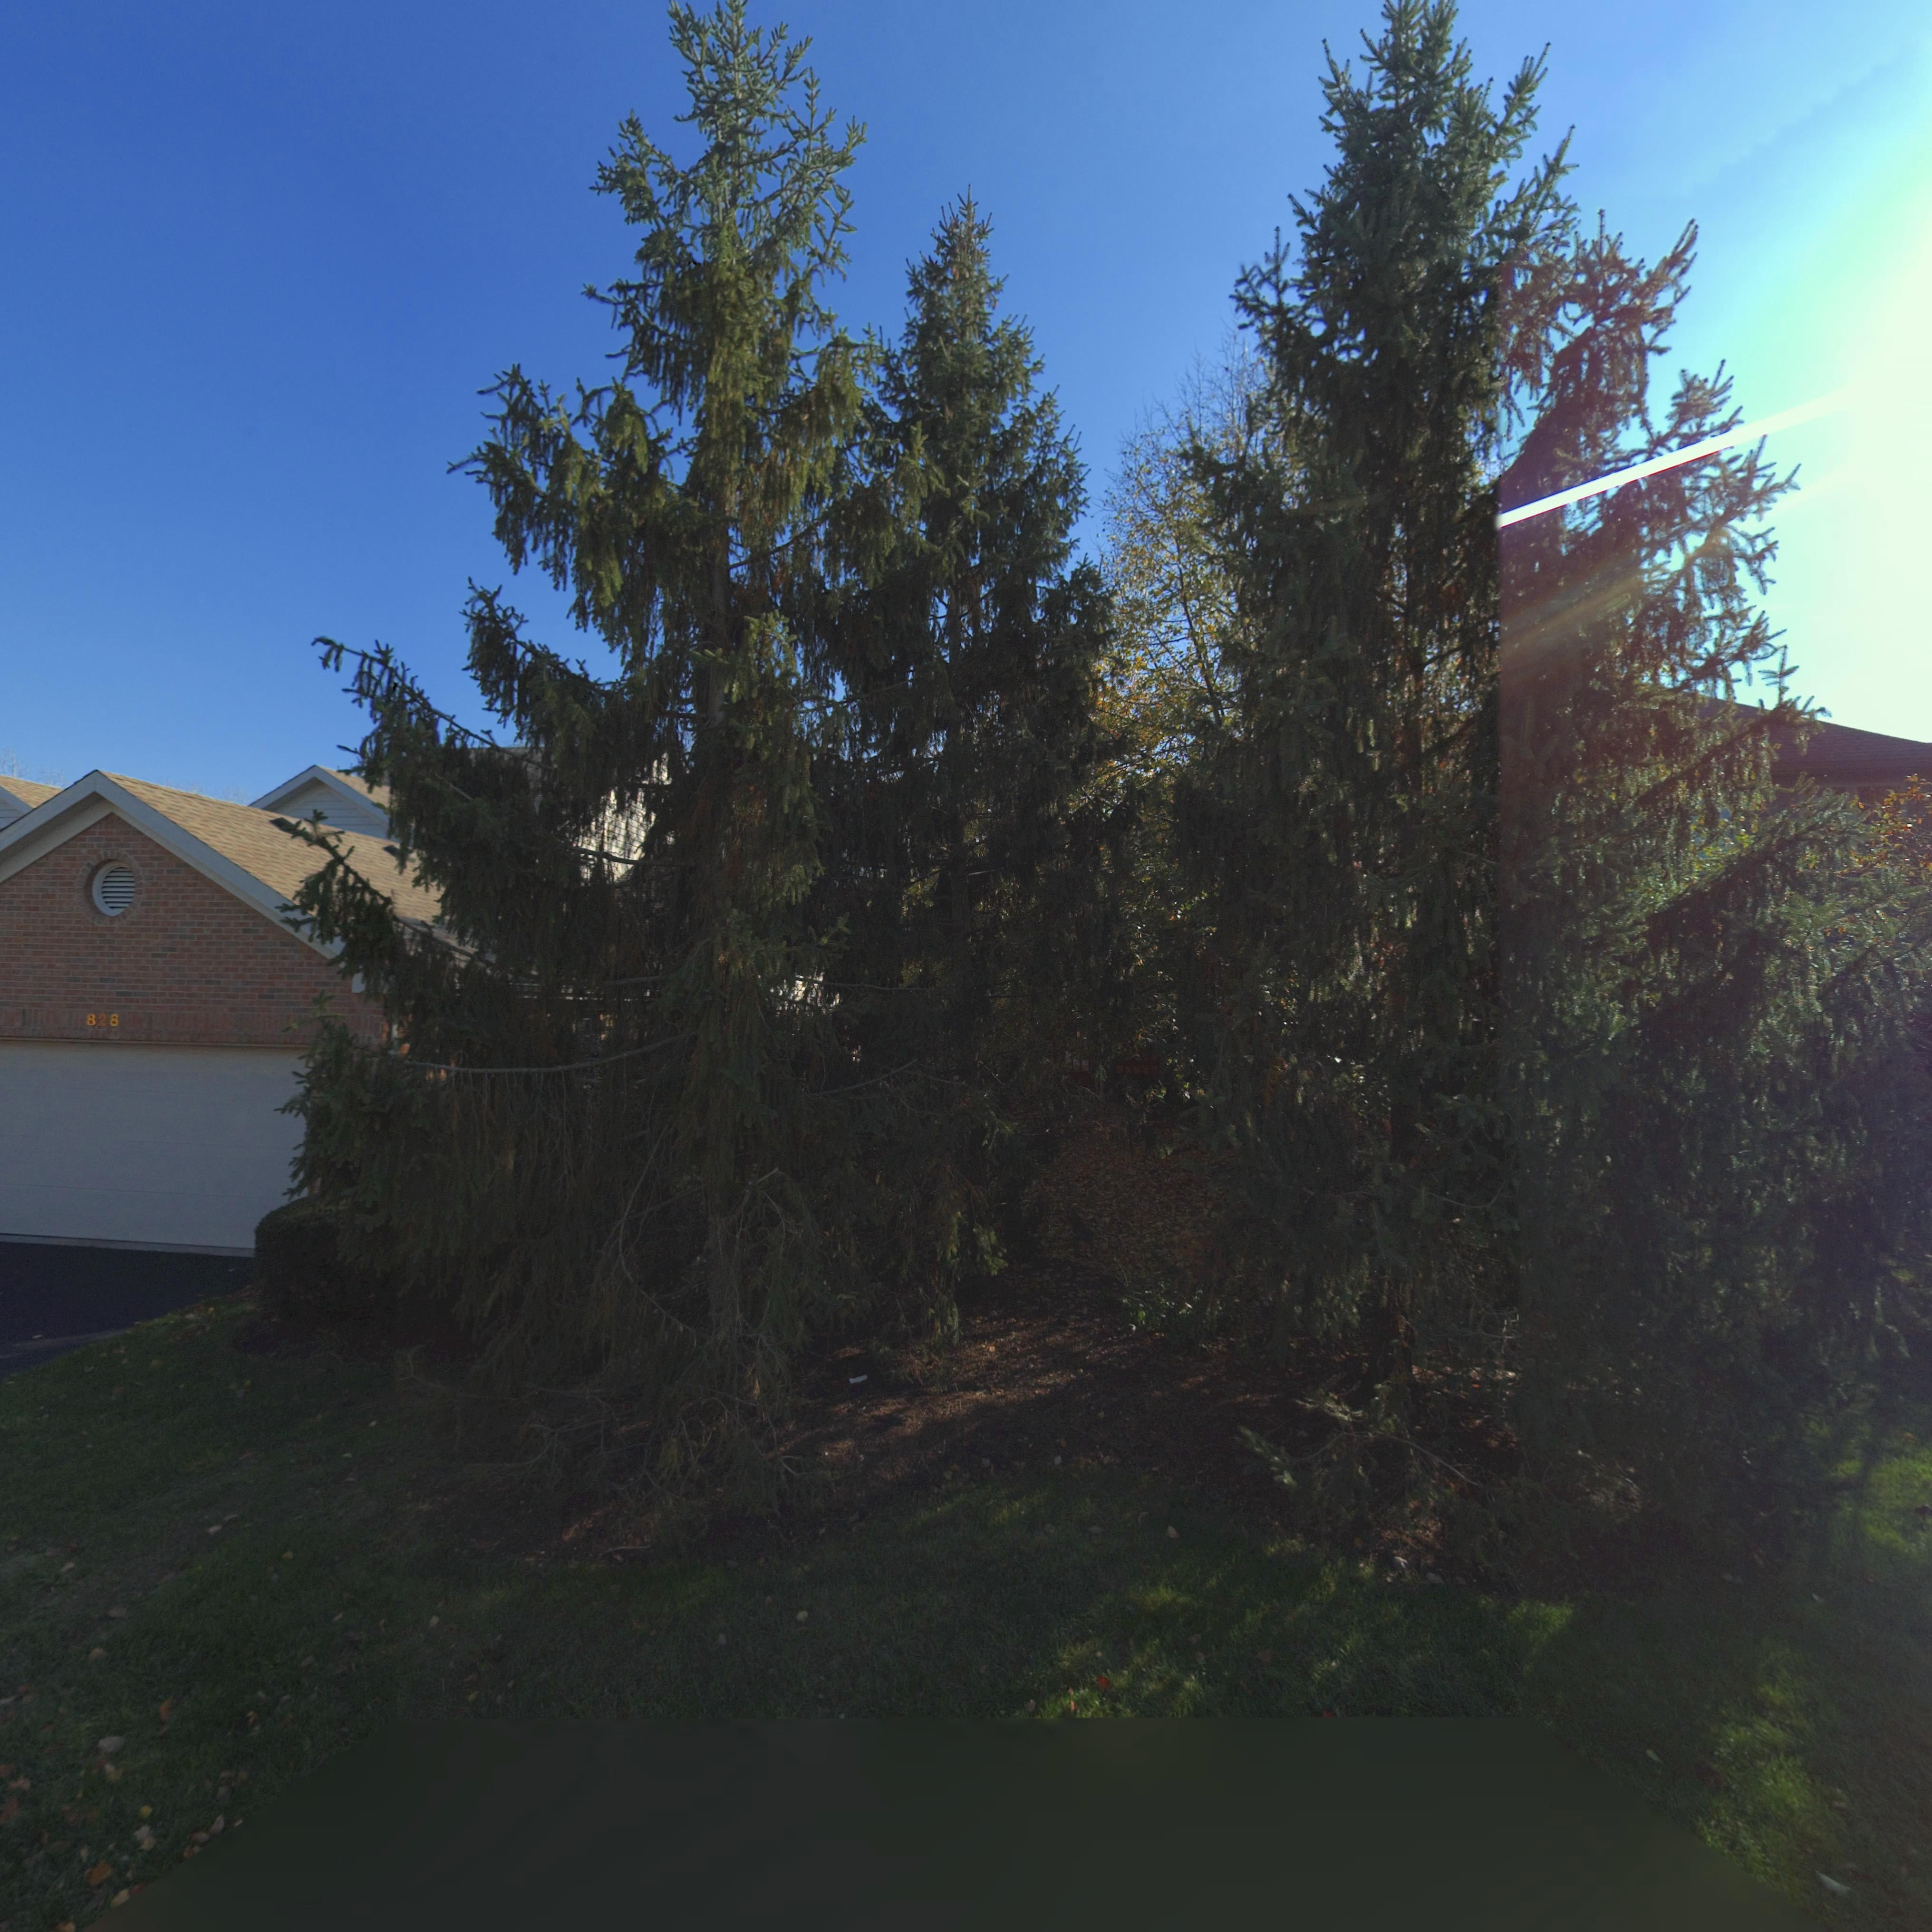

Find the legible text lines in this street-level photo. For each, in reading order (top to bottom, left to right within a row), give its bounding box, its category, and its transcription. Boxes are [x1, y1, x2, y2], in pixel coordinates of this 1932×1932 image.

[85, 1011, 122, 1029] StreetNumber: 828